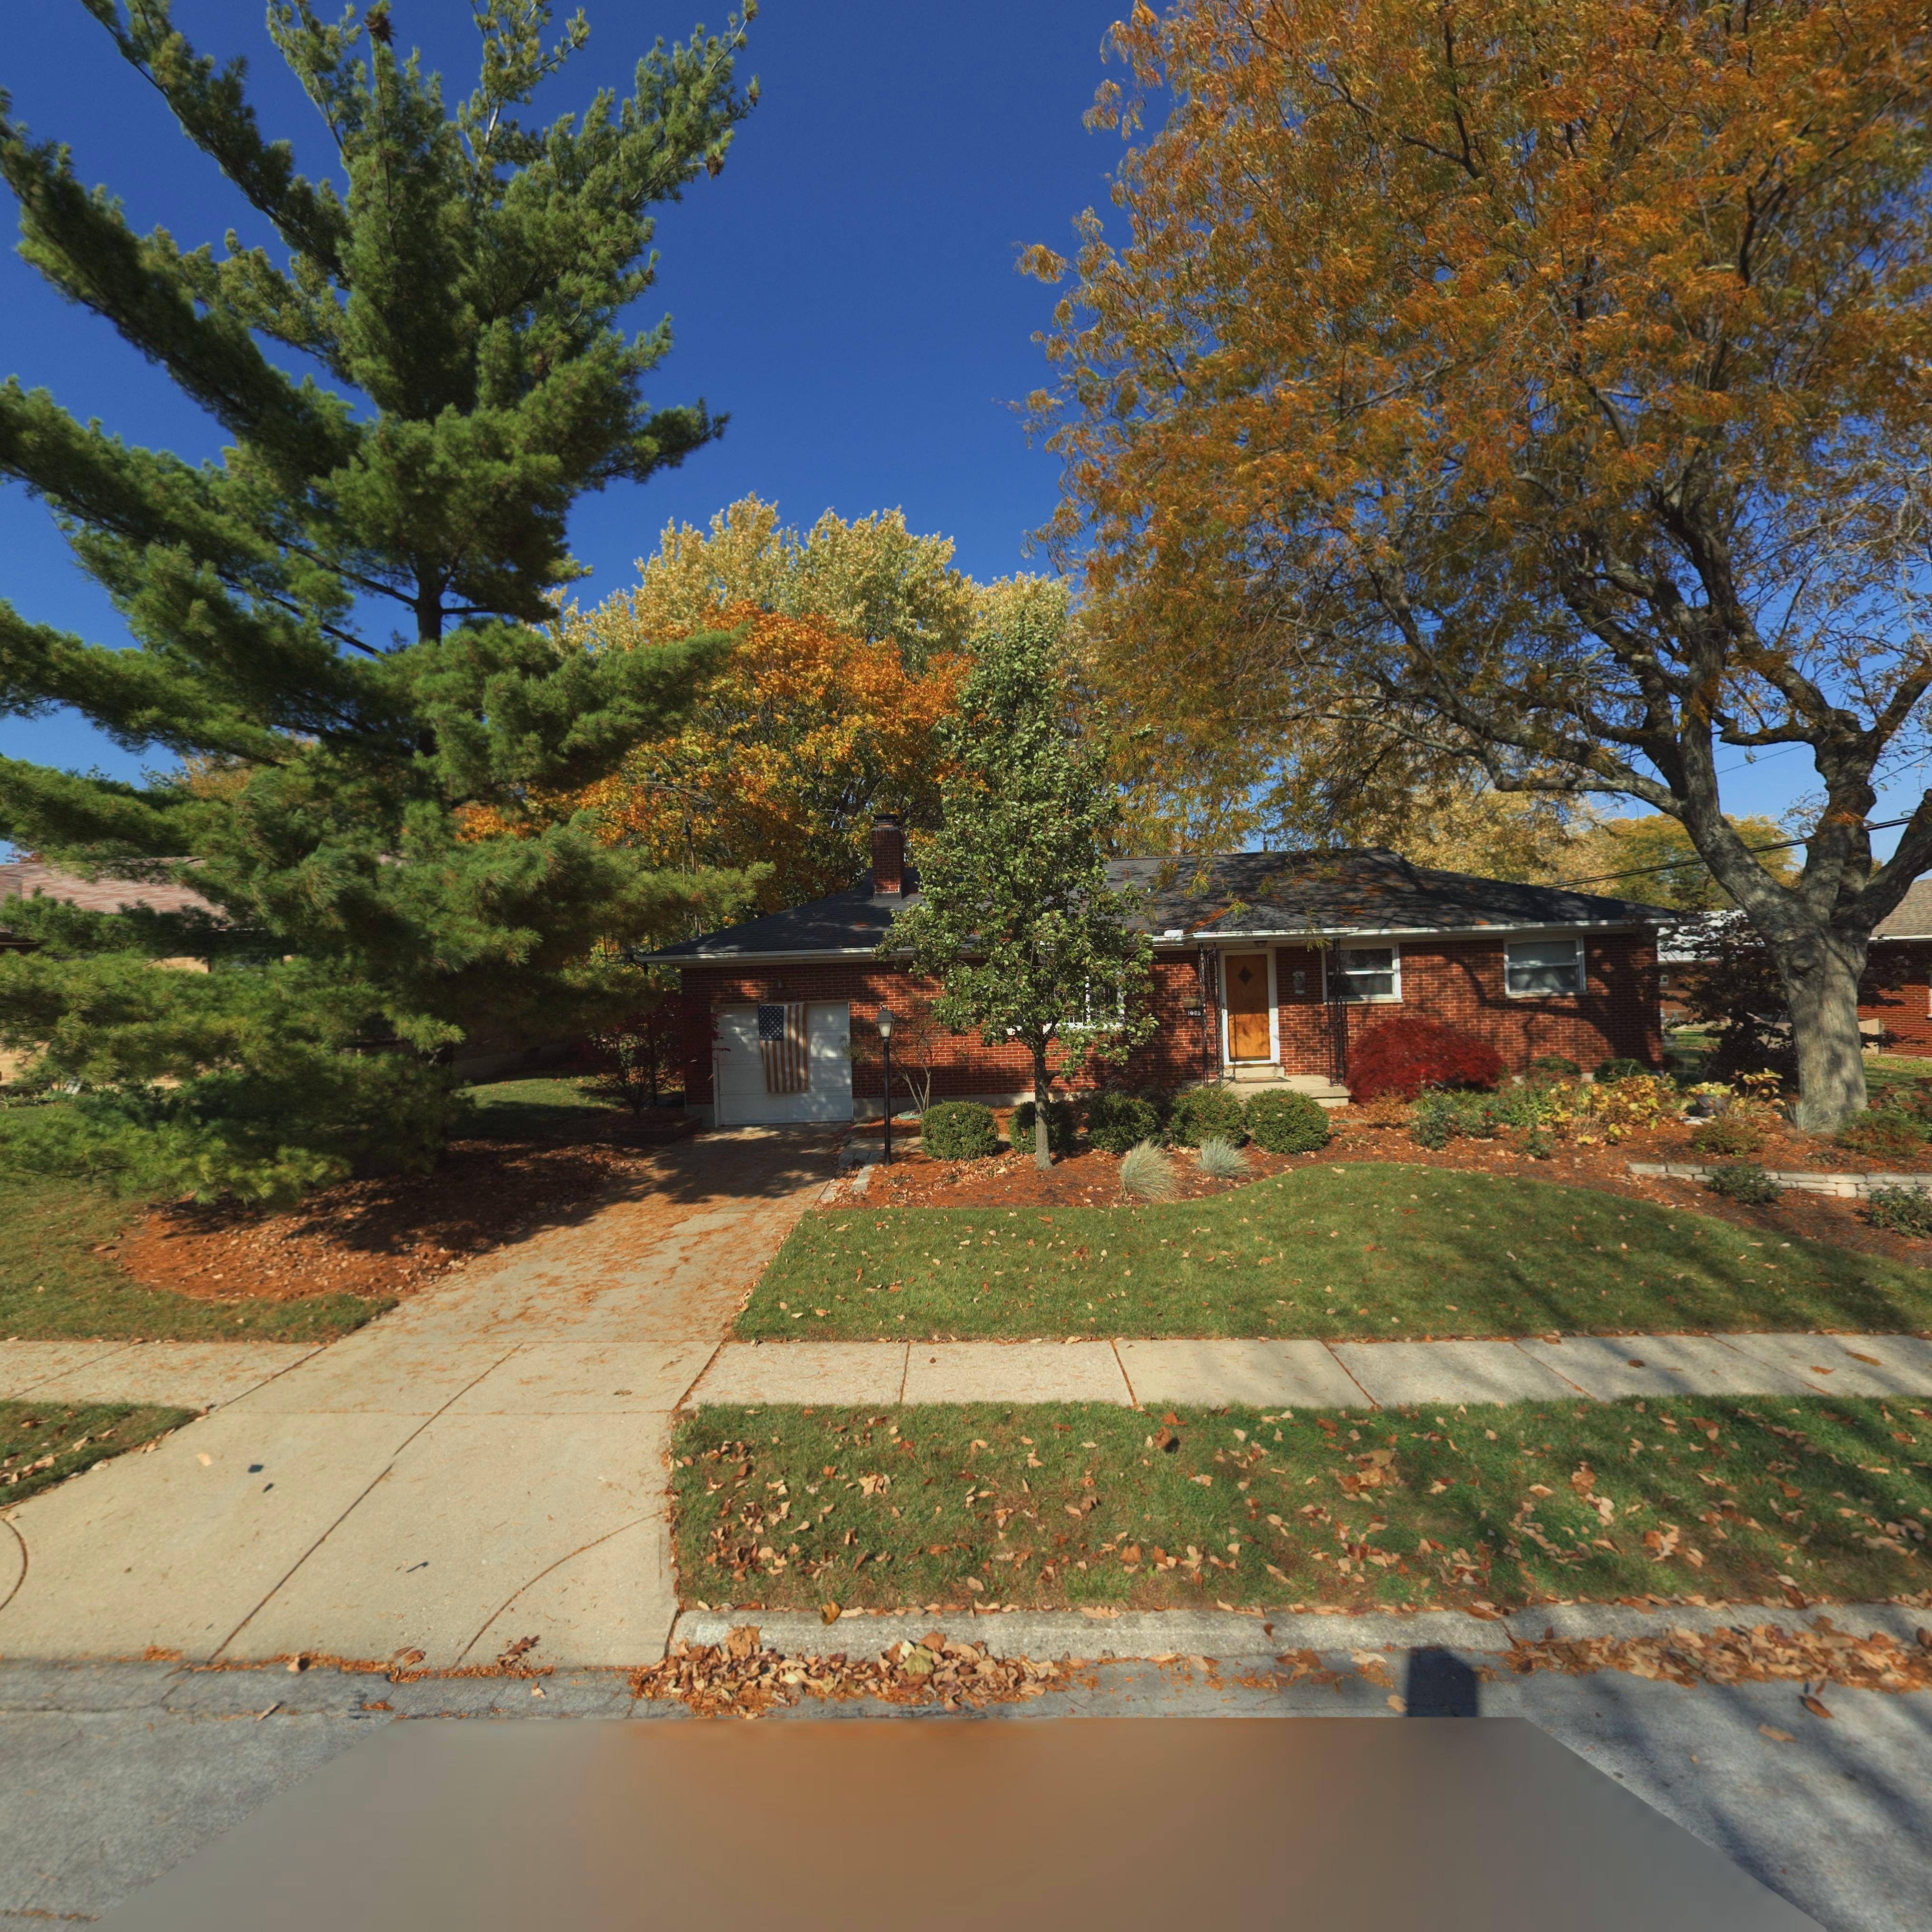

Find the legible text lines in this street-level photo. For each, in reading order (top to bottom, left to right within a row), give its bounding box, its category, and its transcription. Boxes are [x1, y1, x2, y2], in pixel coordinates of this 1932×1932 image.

[1187, 1010, 1201, 1016] StreetNumber: 1065